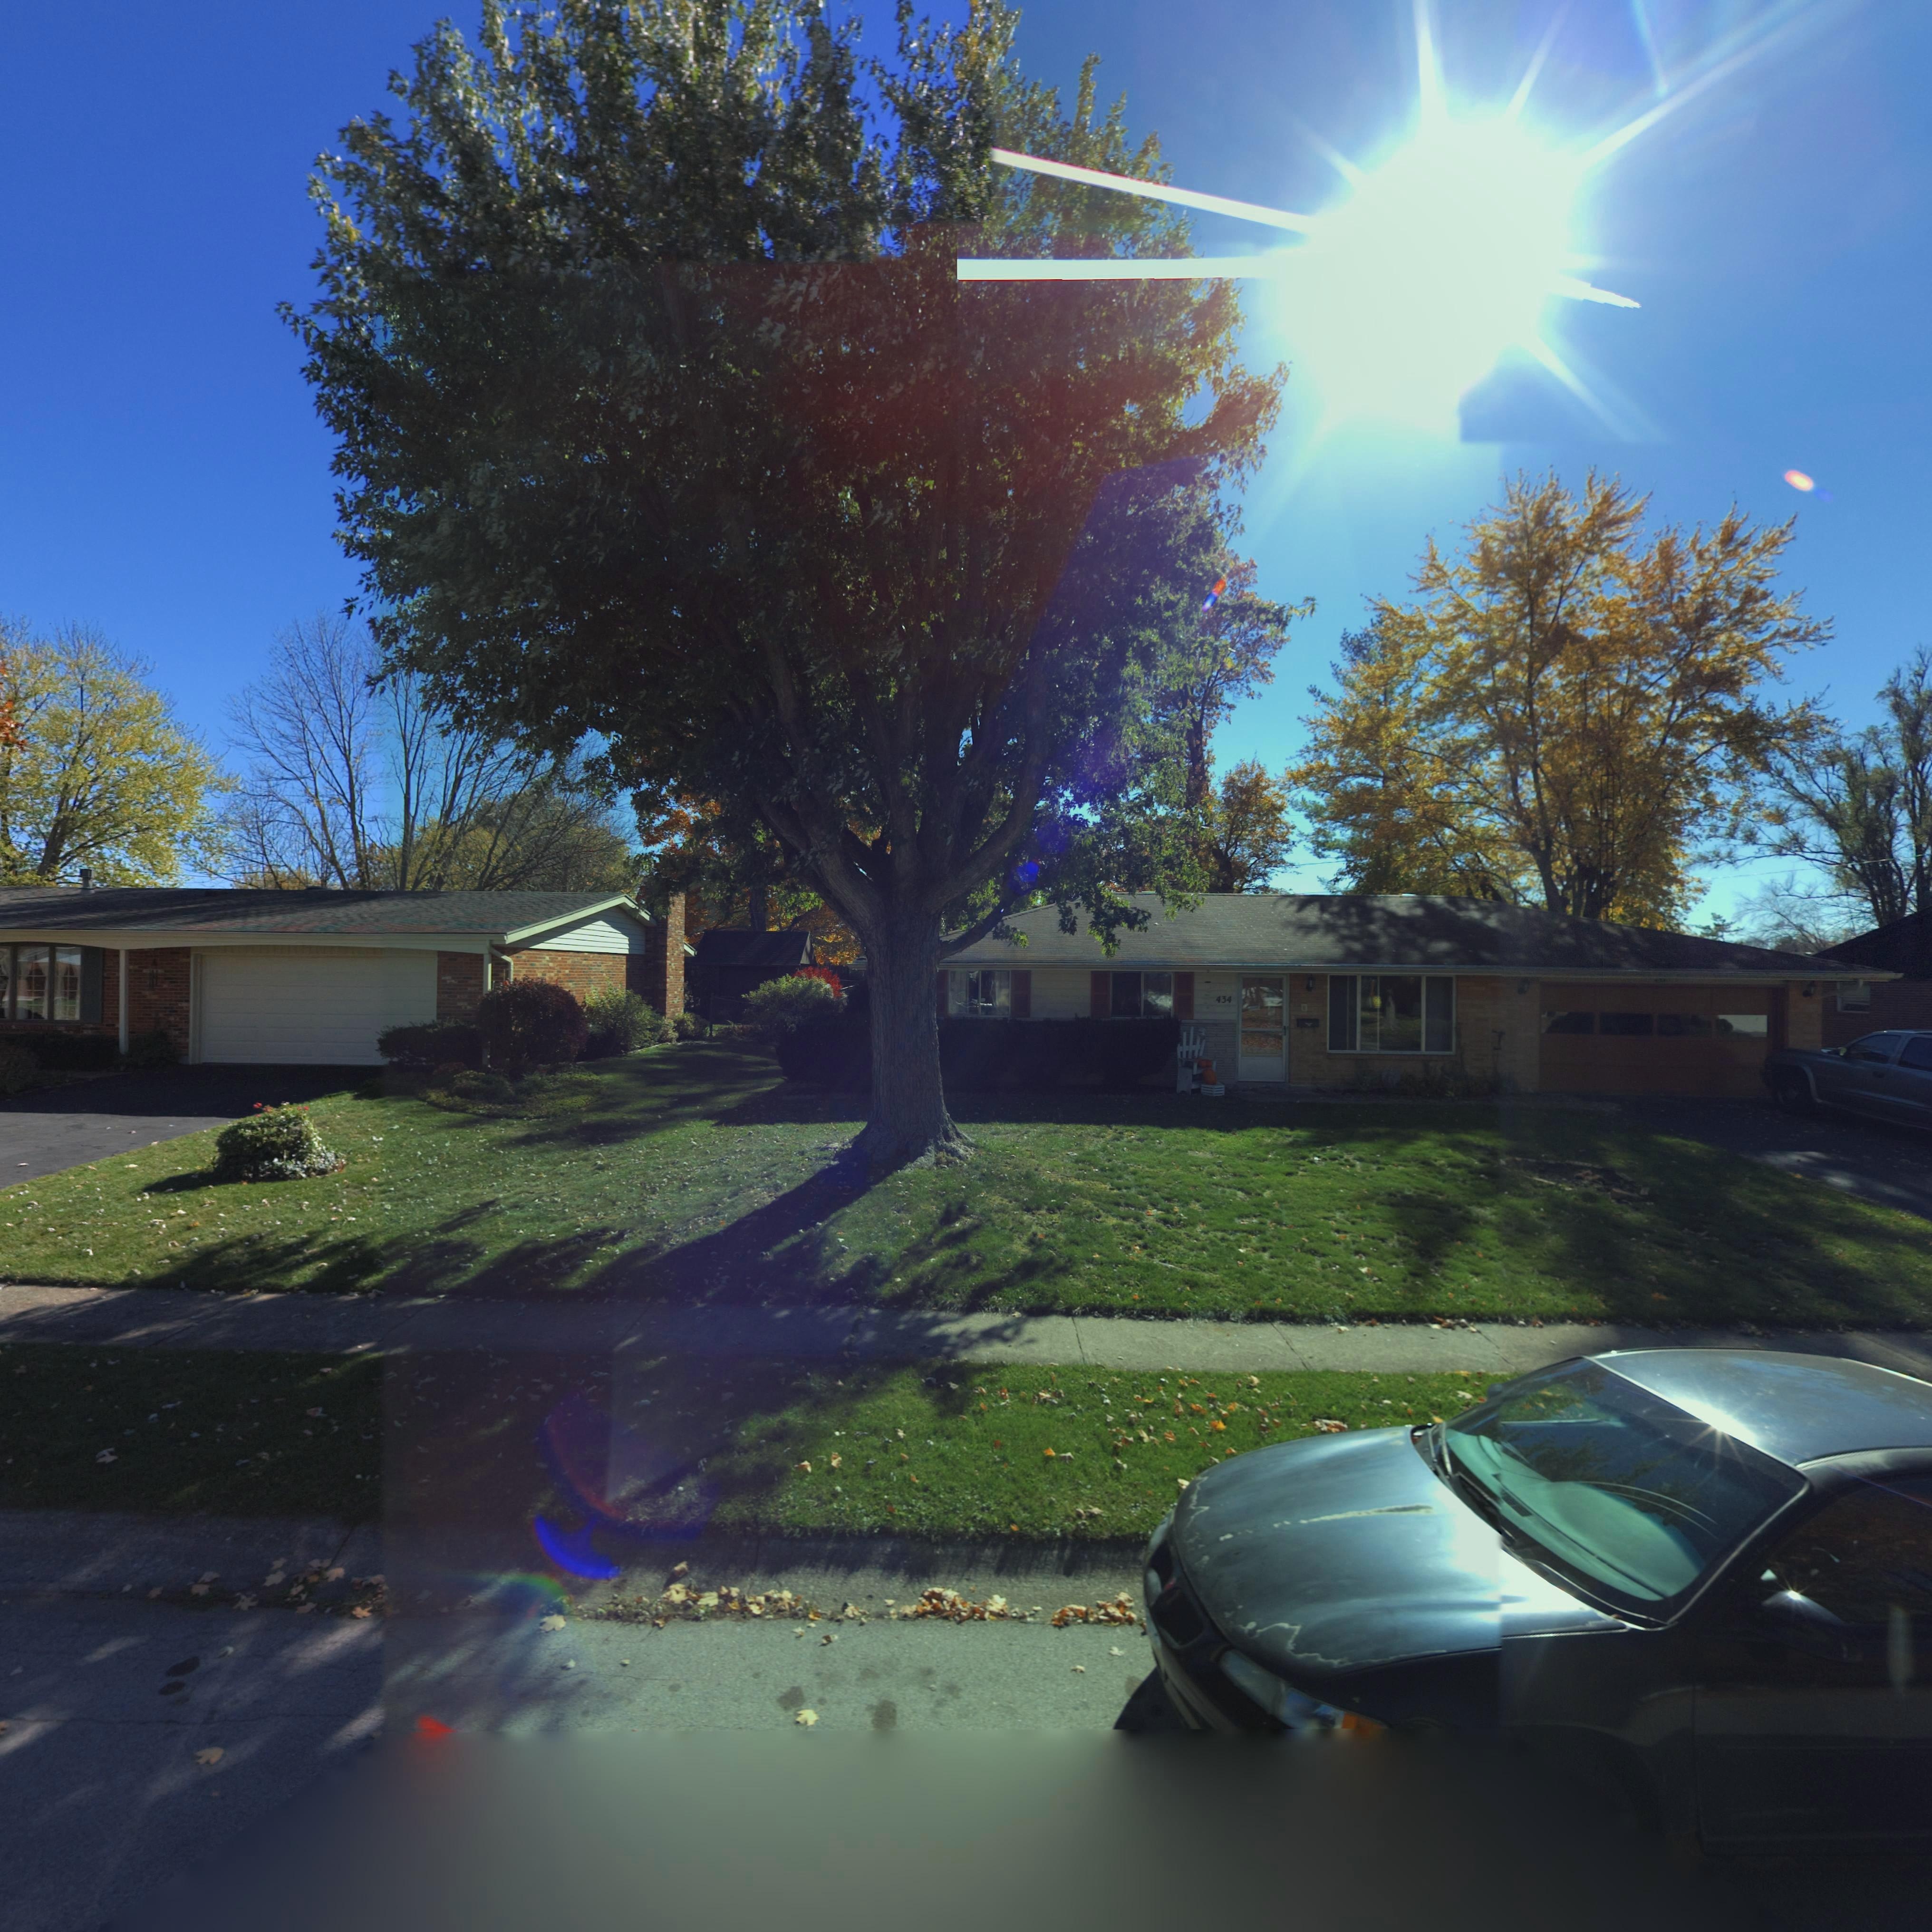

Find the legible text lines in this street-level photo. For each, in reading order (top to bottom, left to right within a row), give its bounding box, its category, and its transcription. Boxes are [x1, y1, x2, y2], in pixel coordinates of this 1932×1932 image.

[1215, 995, 1233, 1004] StreetNumber: 434